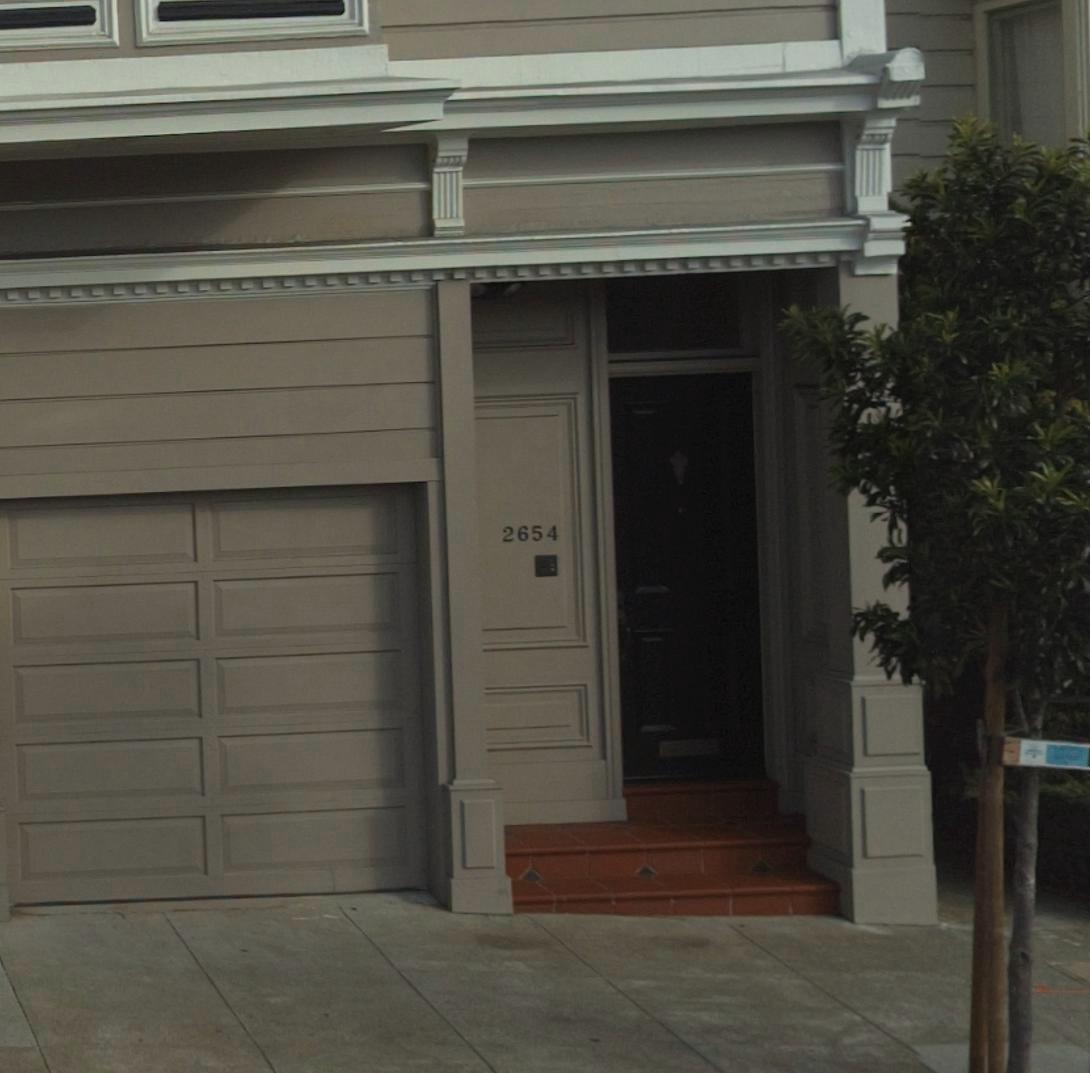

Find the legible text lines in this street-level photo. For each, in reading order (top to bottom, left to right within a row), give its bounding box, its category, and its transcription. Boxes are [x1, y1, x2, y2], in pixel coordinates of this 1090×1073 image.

[499, 522, 561, 545] StreetNumber: 2654